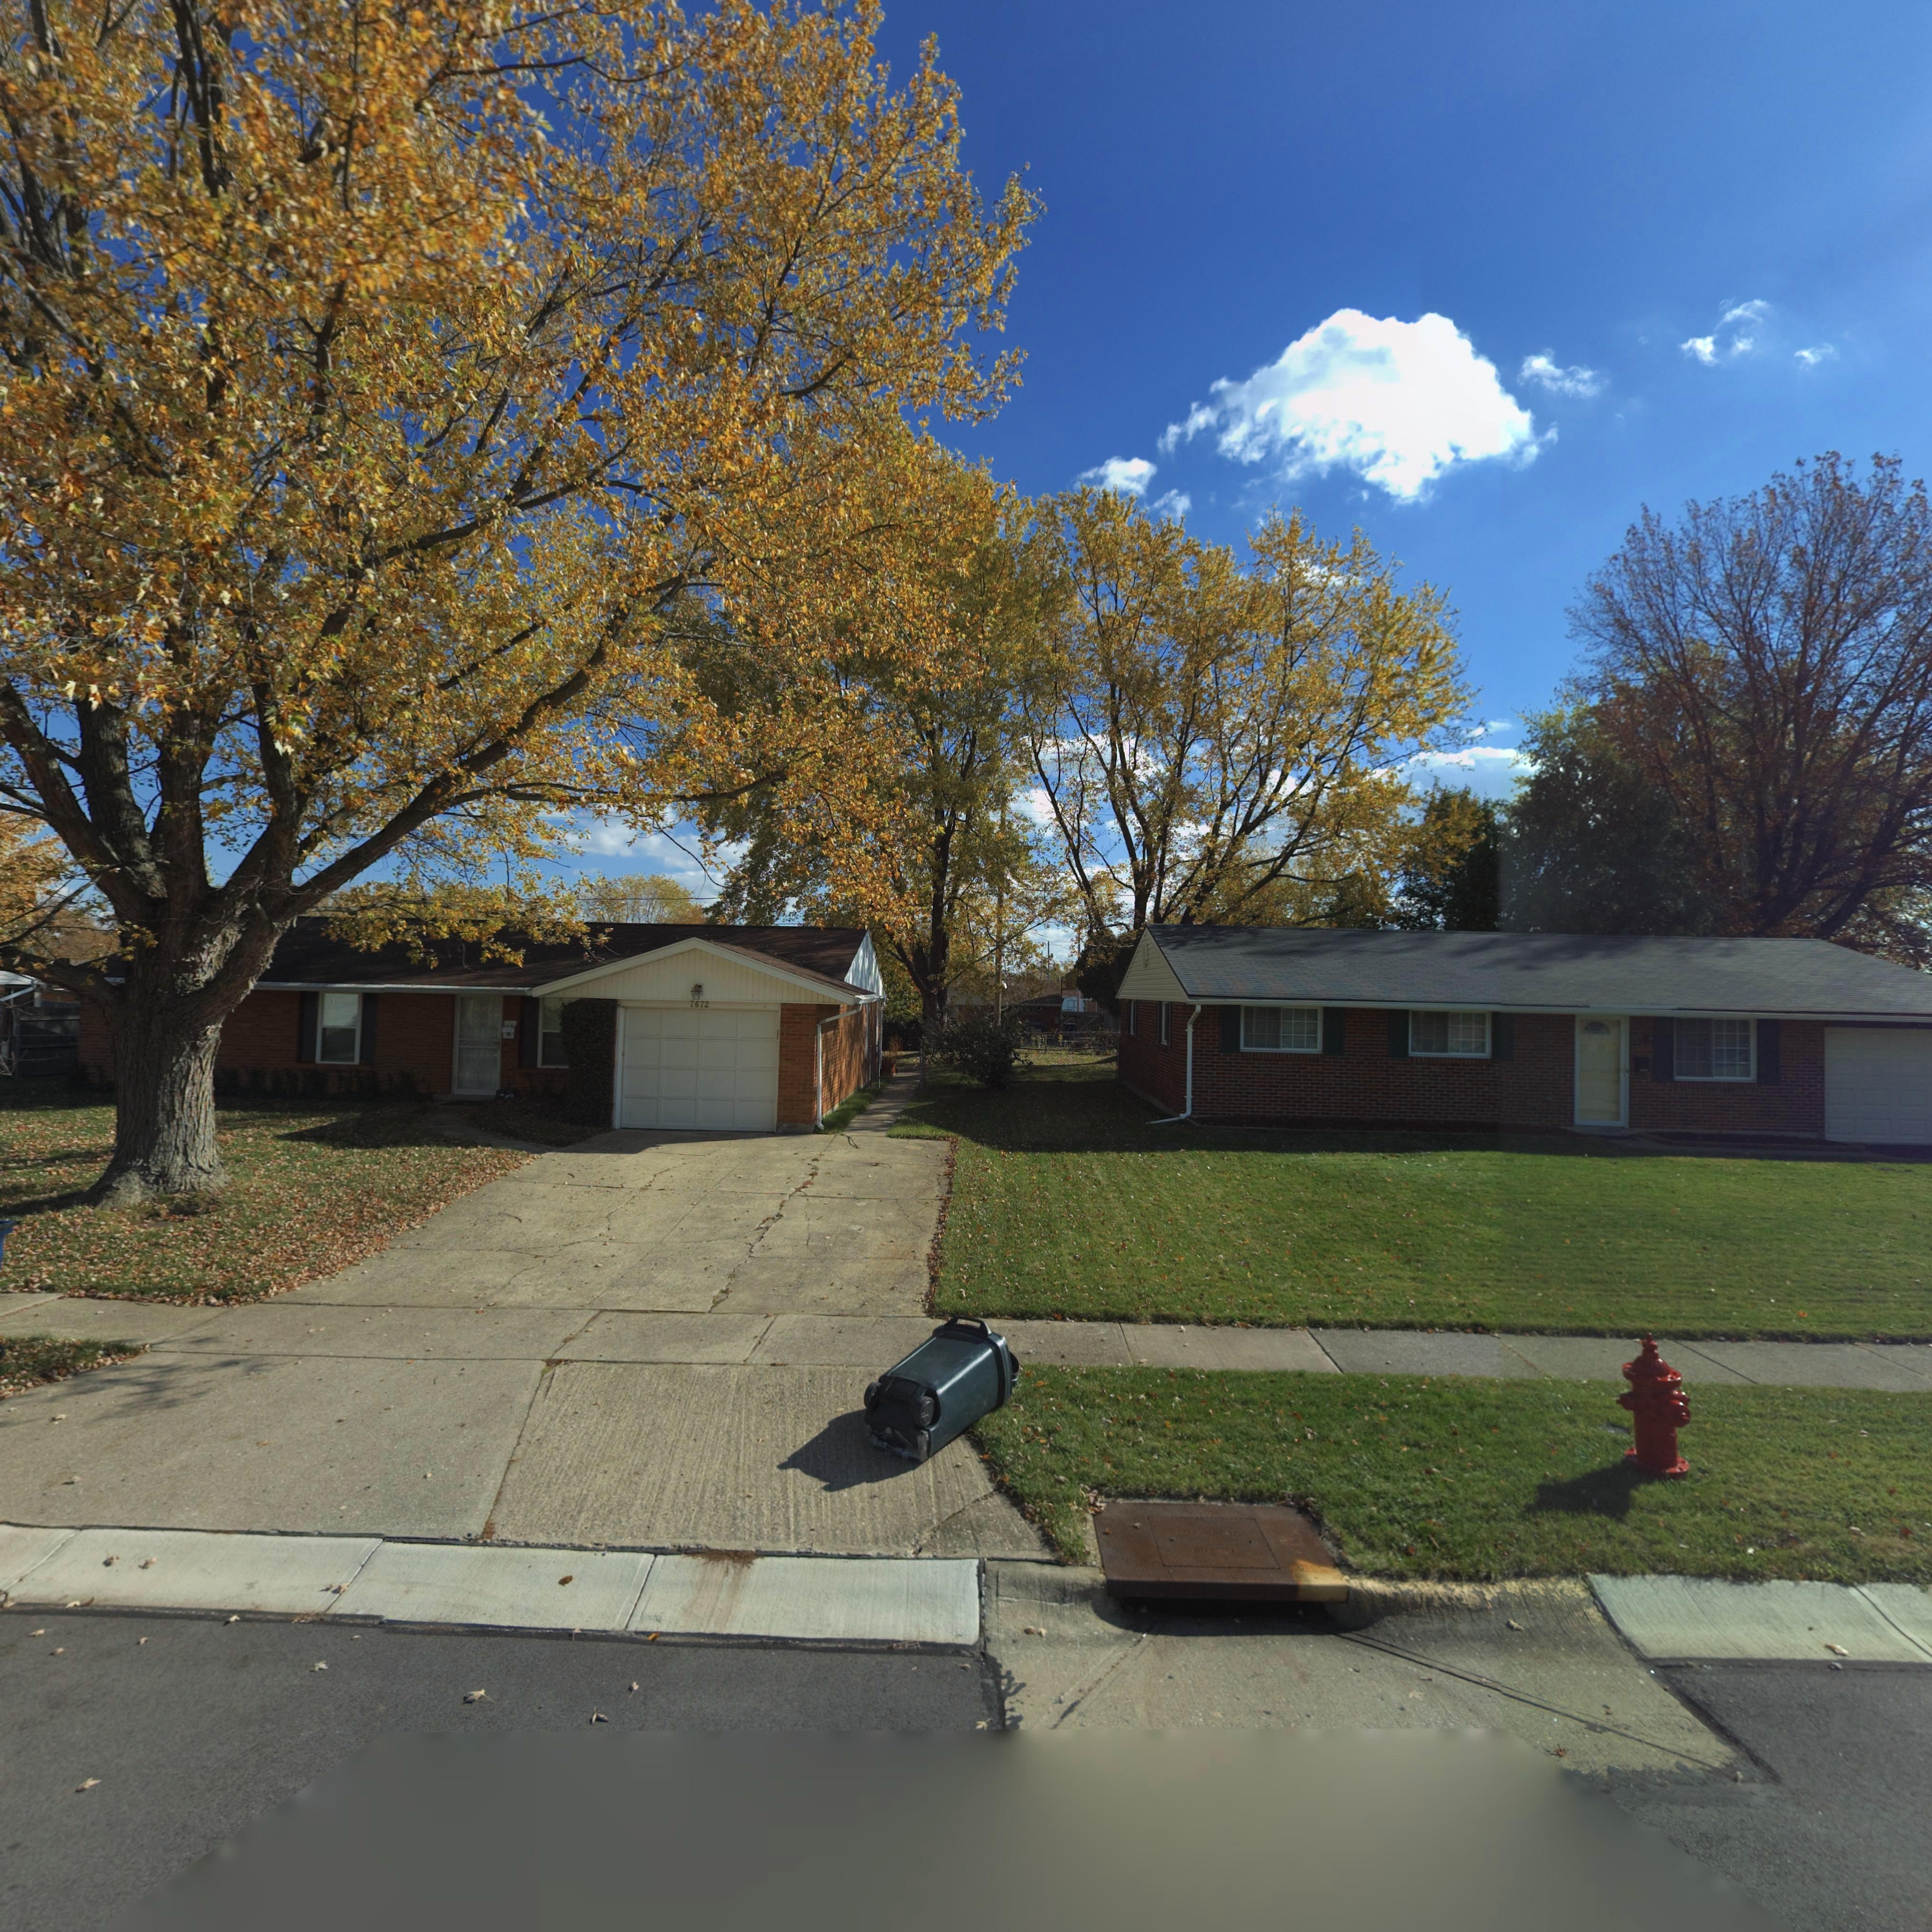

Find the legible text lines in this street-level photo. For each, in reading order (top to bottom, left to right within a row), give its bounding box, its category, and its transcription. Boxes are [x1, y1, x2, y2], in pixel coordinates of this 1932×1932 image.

[689, 999, 710, 1009] StreetNumber: 7672